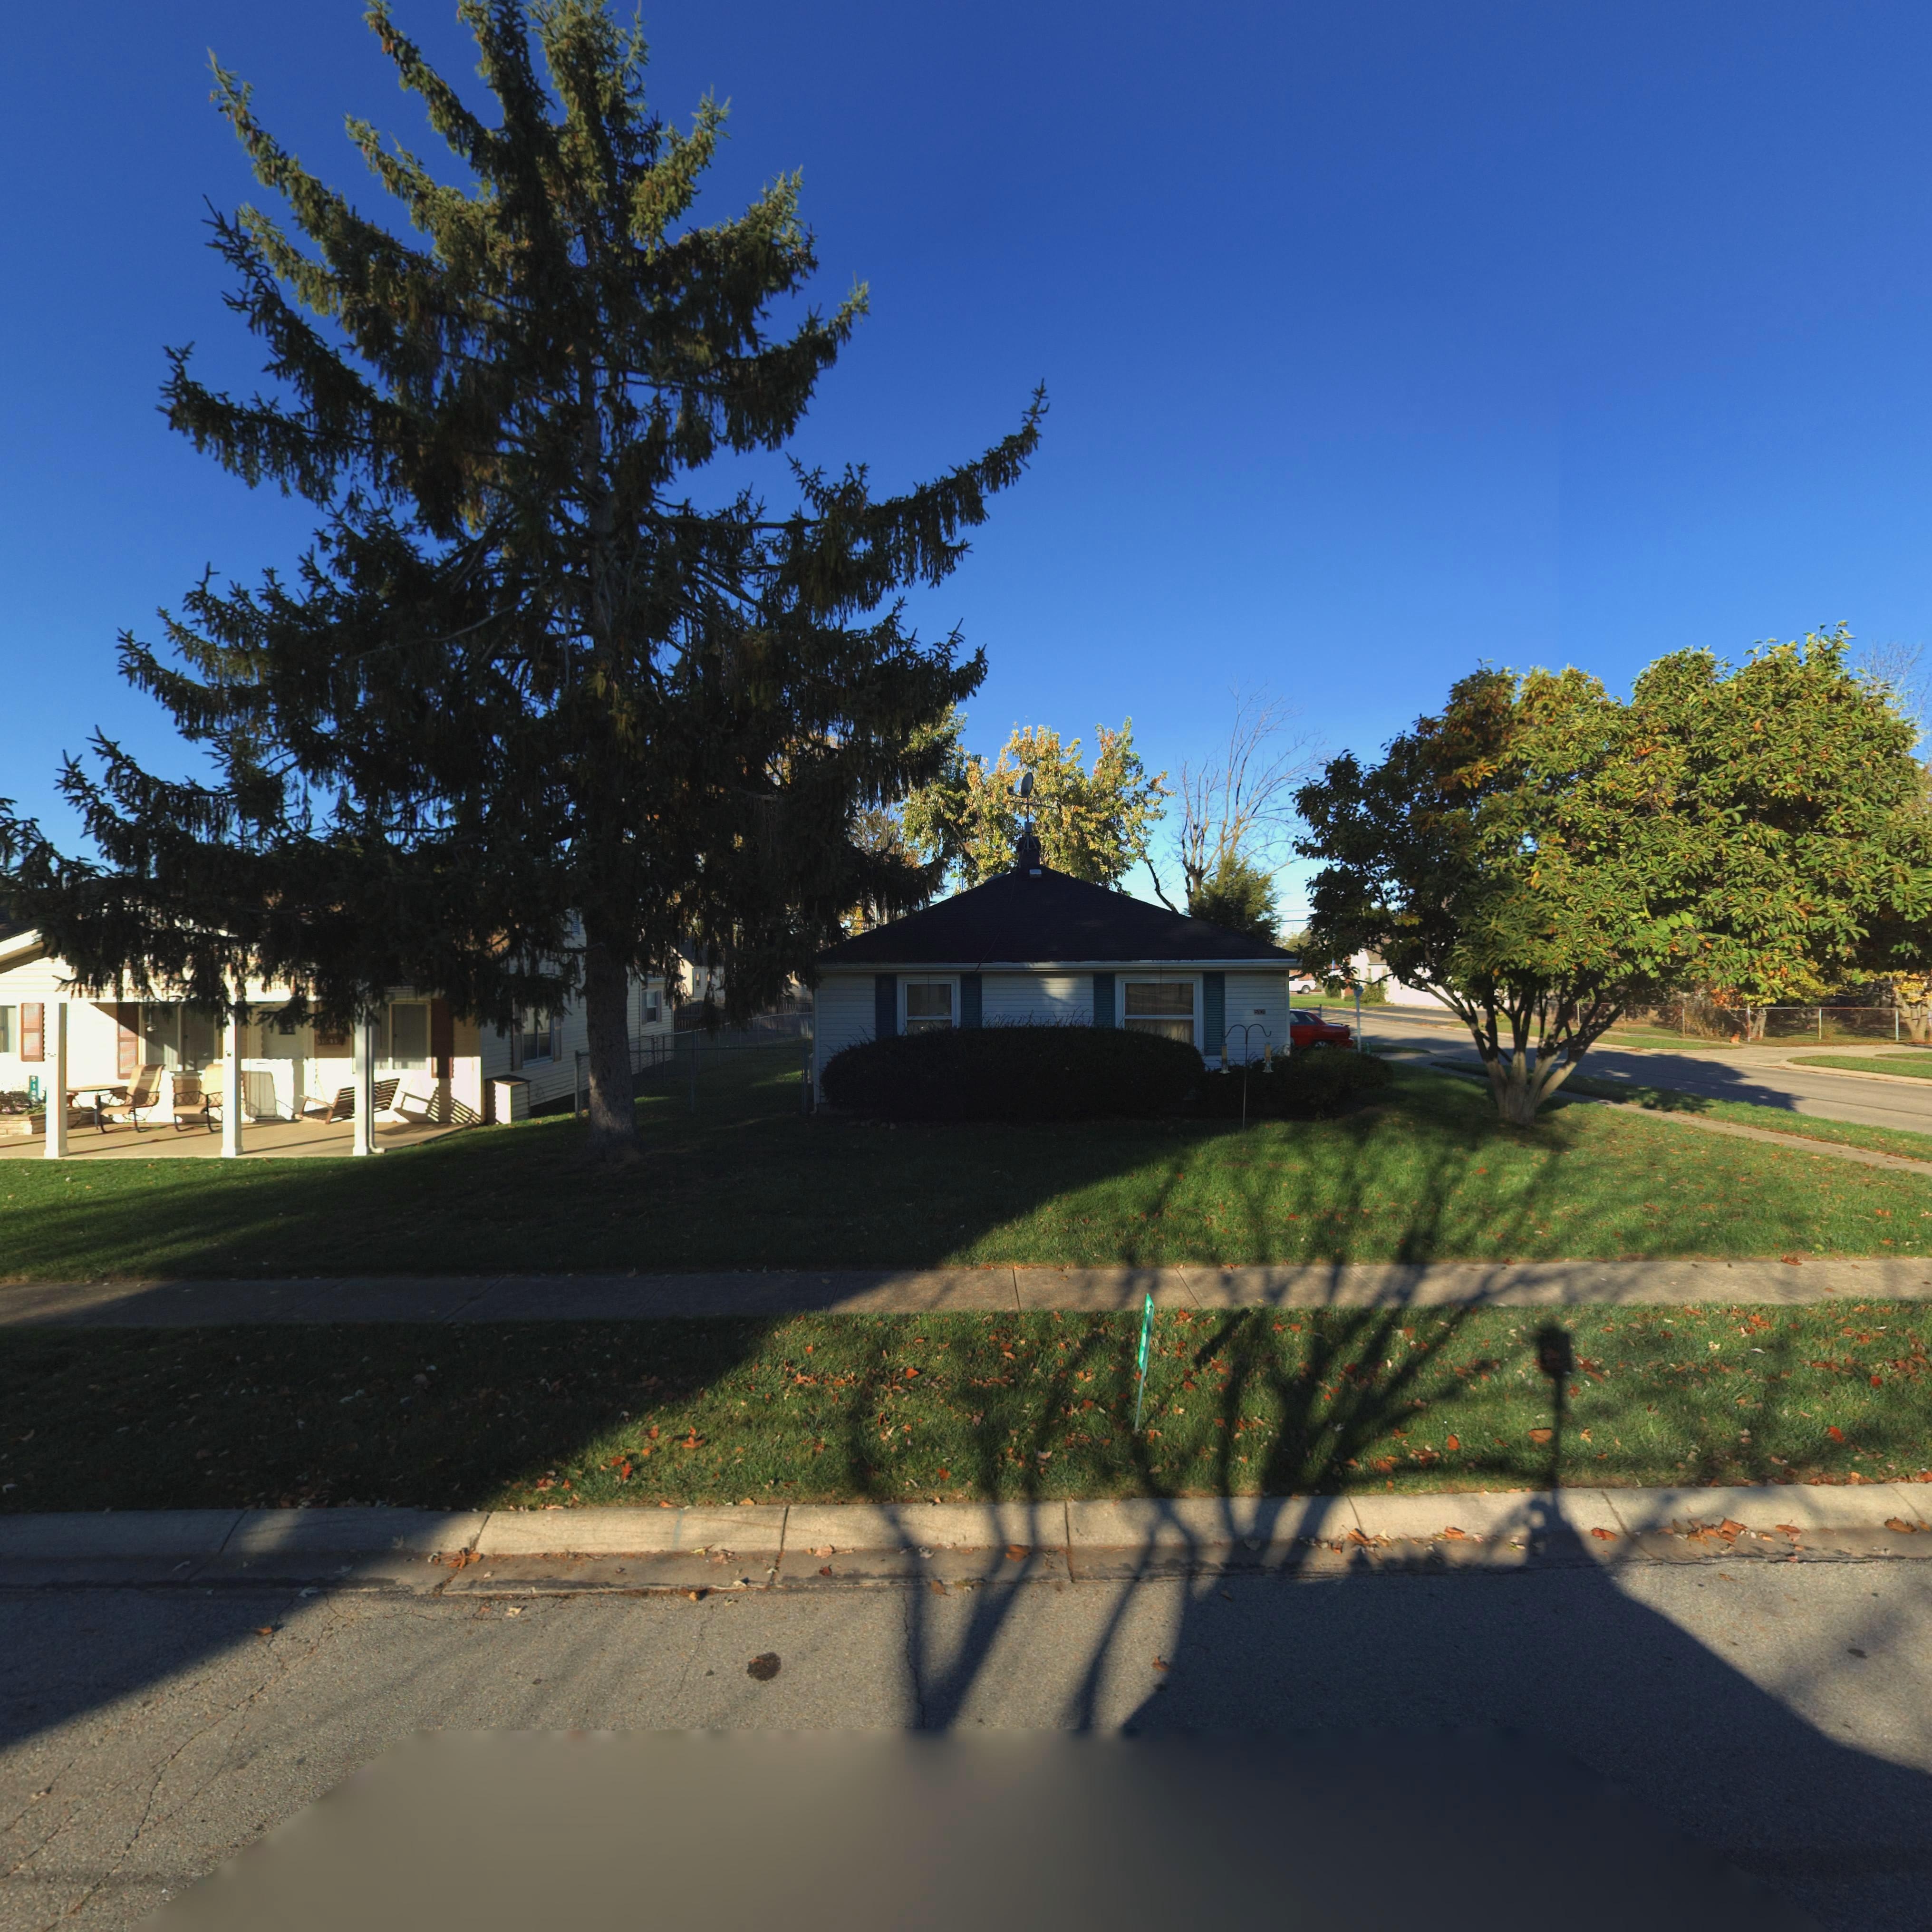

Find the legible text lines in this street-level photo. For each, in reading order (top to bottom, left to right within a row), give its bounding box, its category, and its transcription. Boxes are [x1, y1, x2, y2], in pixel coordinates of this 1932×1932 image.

[1254, 1009, 1266, 1015] StreetNumber: *101
[316, 1038, 338, 1044] StreetNumber: 51*0*
[31, 1076, 37, 1102] StreetNumber: 510*